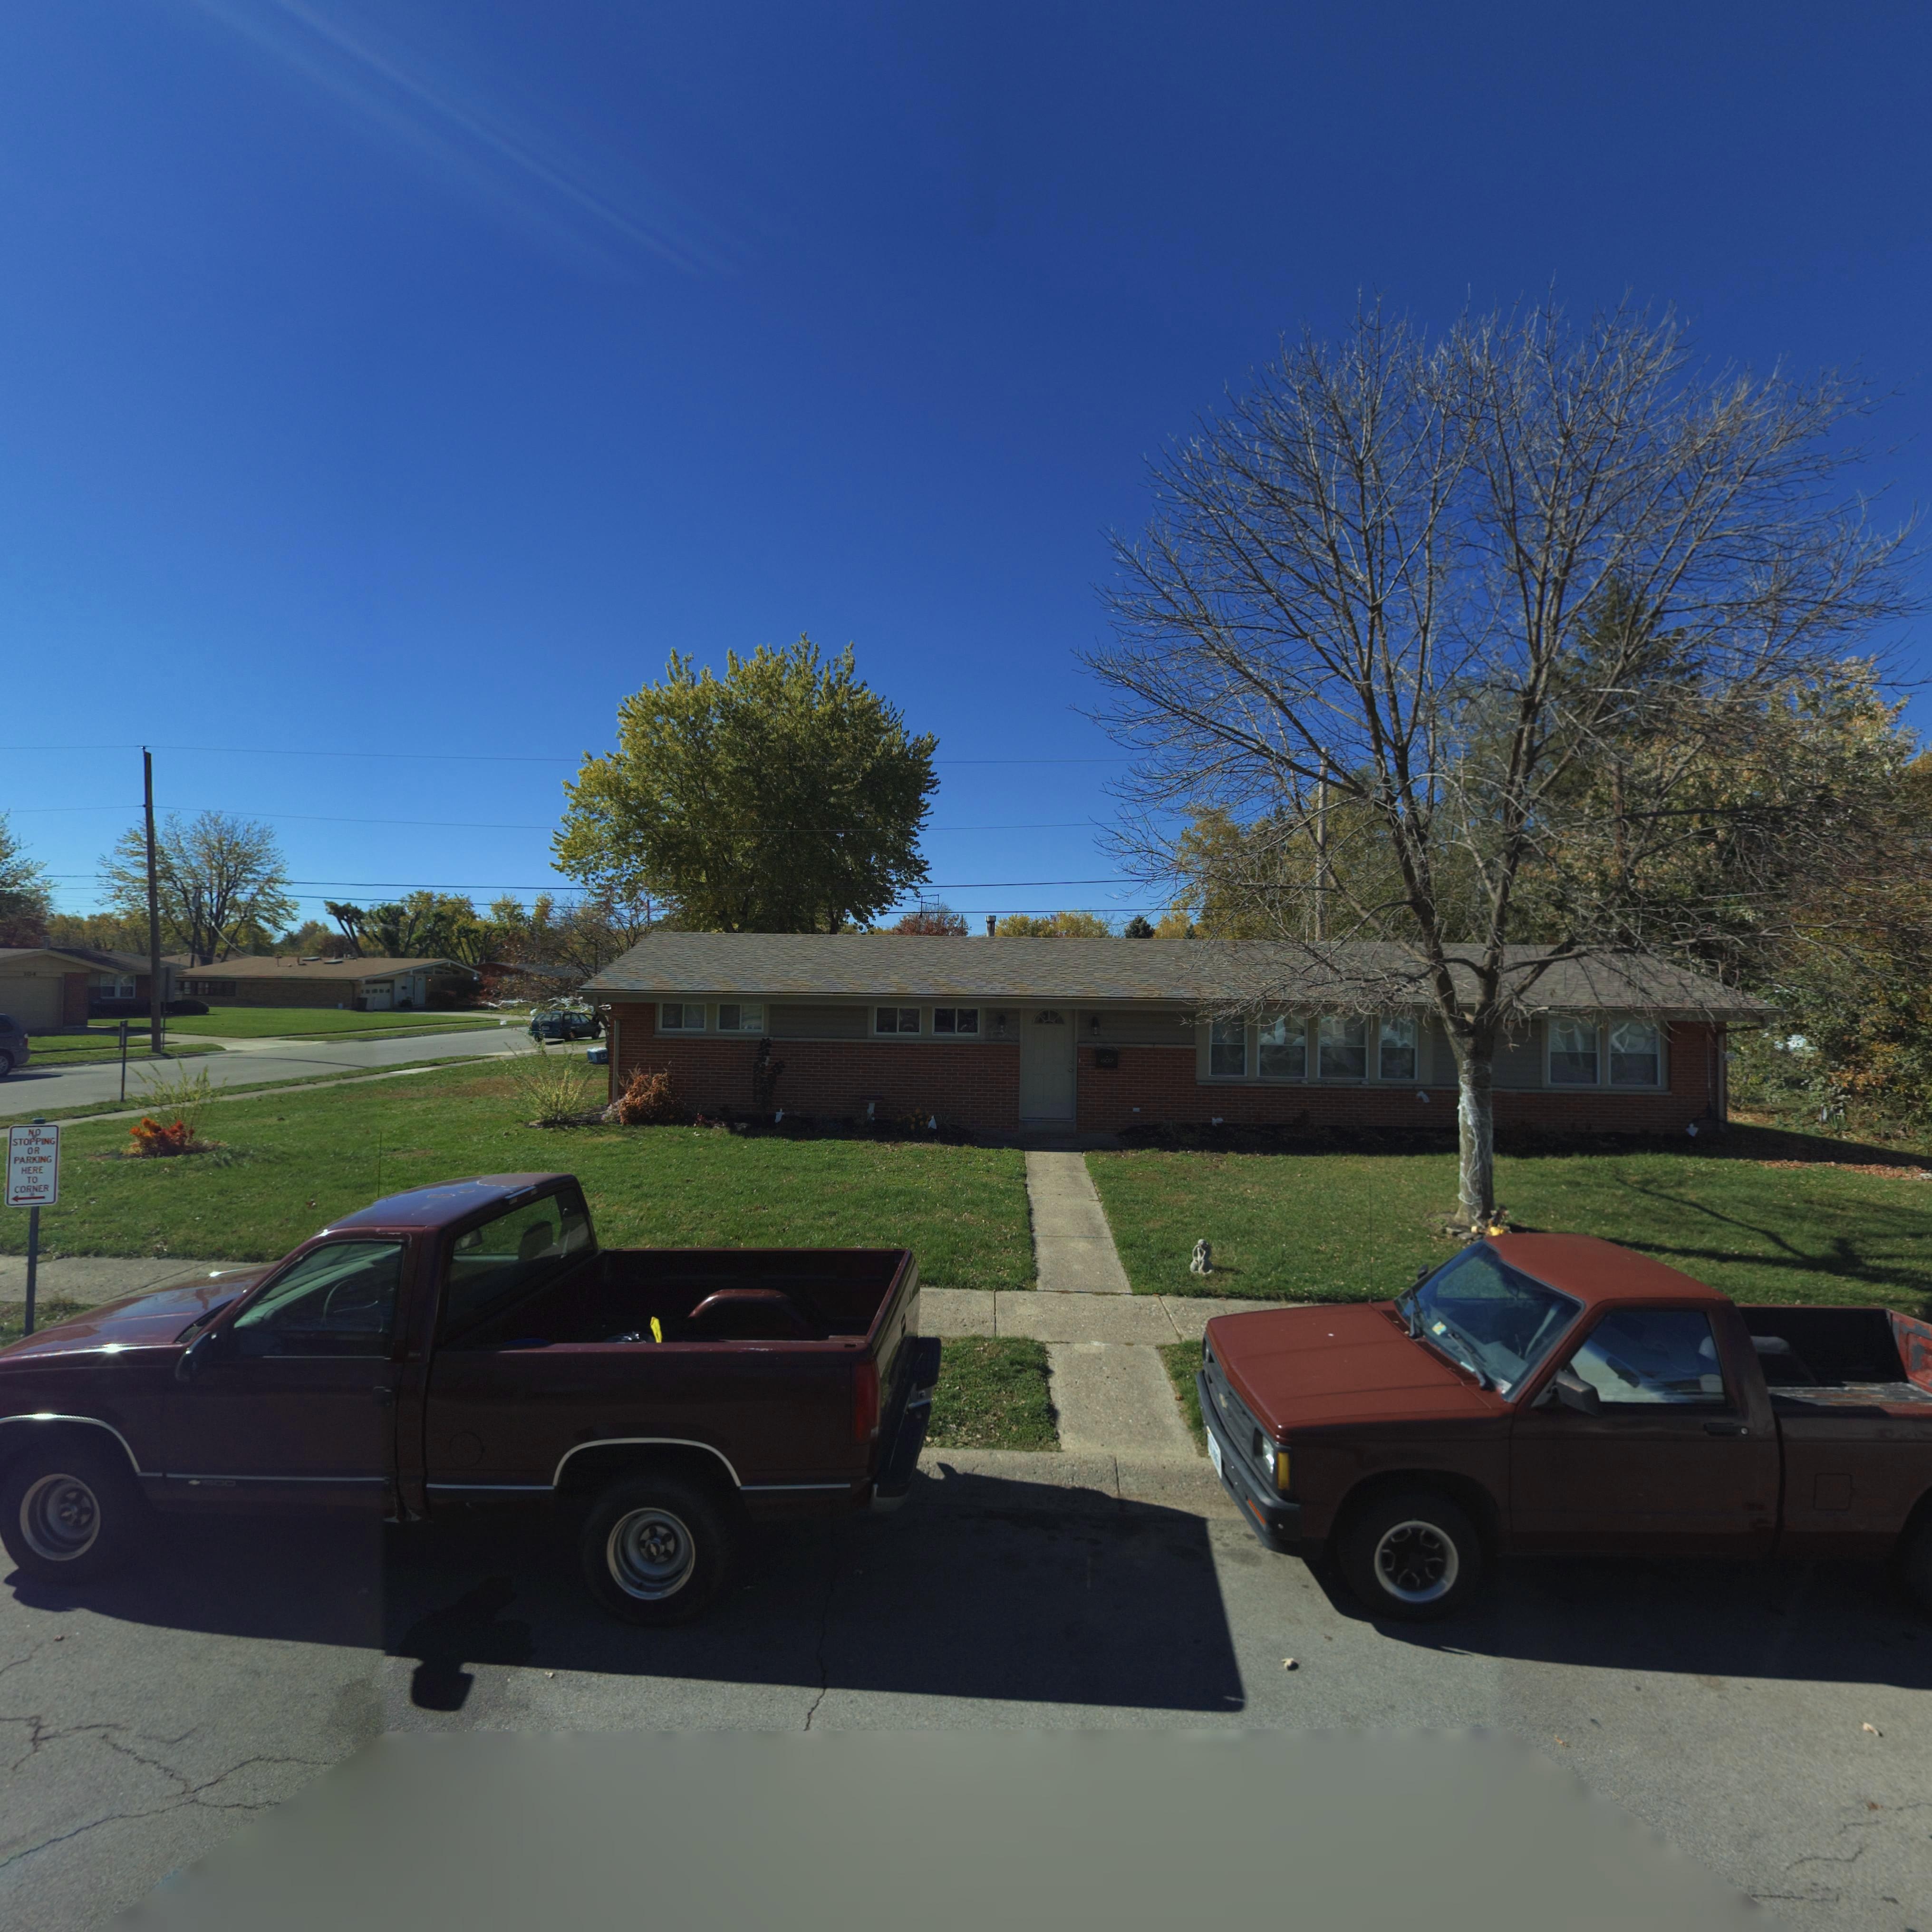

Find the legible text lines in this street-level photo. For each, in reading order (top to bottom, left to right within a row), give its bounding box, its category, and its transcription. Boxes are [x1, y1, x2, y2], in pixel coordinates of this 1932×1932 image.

[1099, 1057, 1115, 1065] StreetNumber: 607
[27, 1128, 41, 1137] None: NO
[10, 1137, 56, 1147] None: STOPPING
[27, 1146, 40, 1155] None: OR
[13, 1155, 53, 1165] None: PARKING
[20, 1166, 44, 1175] None: HERE
[26, 1176, 39, 1184] None: TO
[13, 1184, 50, 1194] None: CORNER